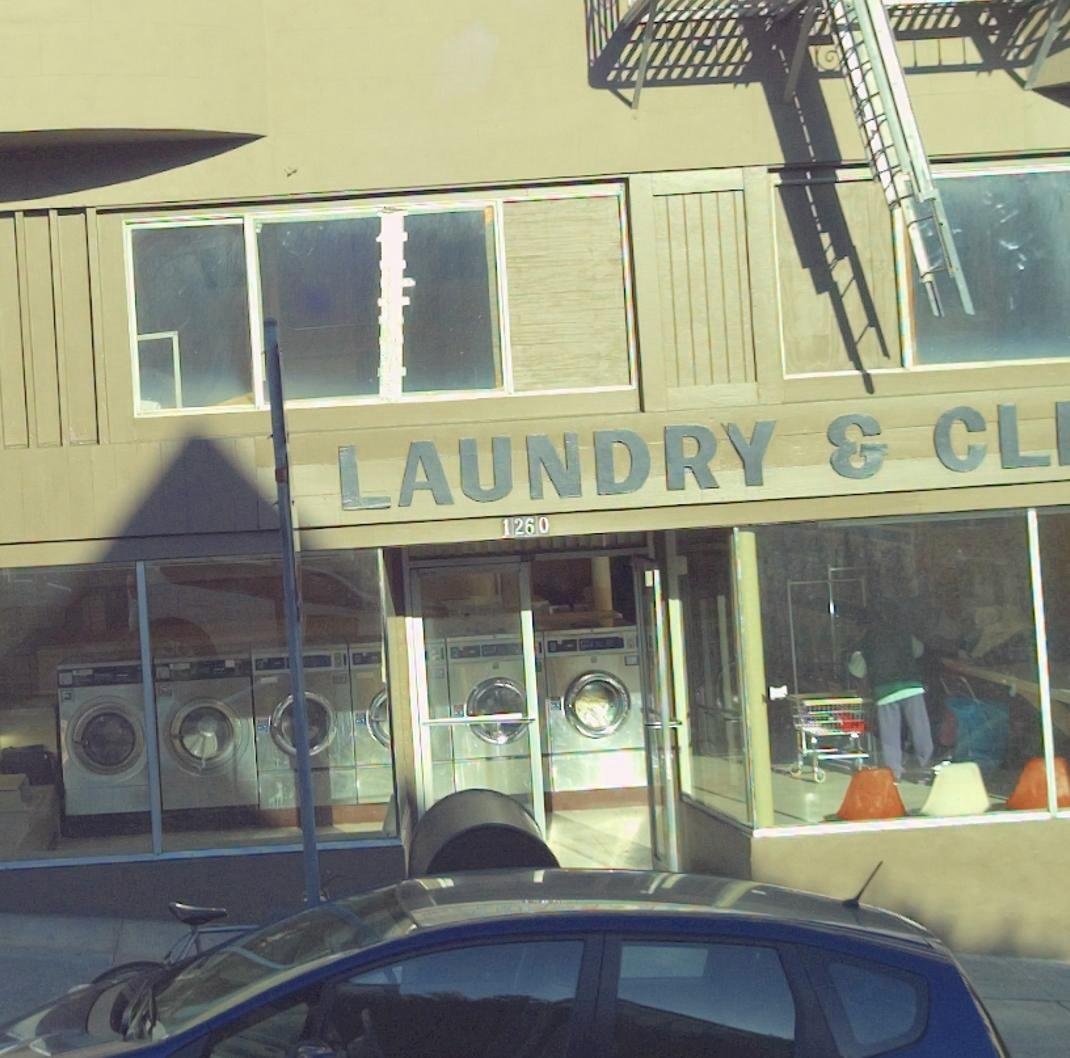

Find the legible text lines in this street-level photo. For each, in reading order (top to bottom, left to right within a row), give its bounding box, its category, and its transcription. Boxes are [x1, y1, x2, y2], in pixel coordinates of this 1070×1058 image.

[336, 401, 1054, 514] BusinessName: LAUNDRY & CL
[501, 515, 550, 538] StreetNumber: 1260